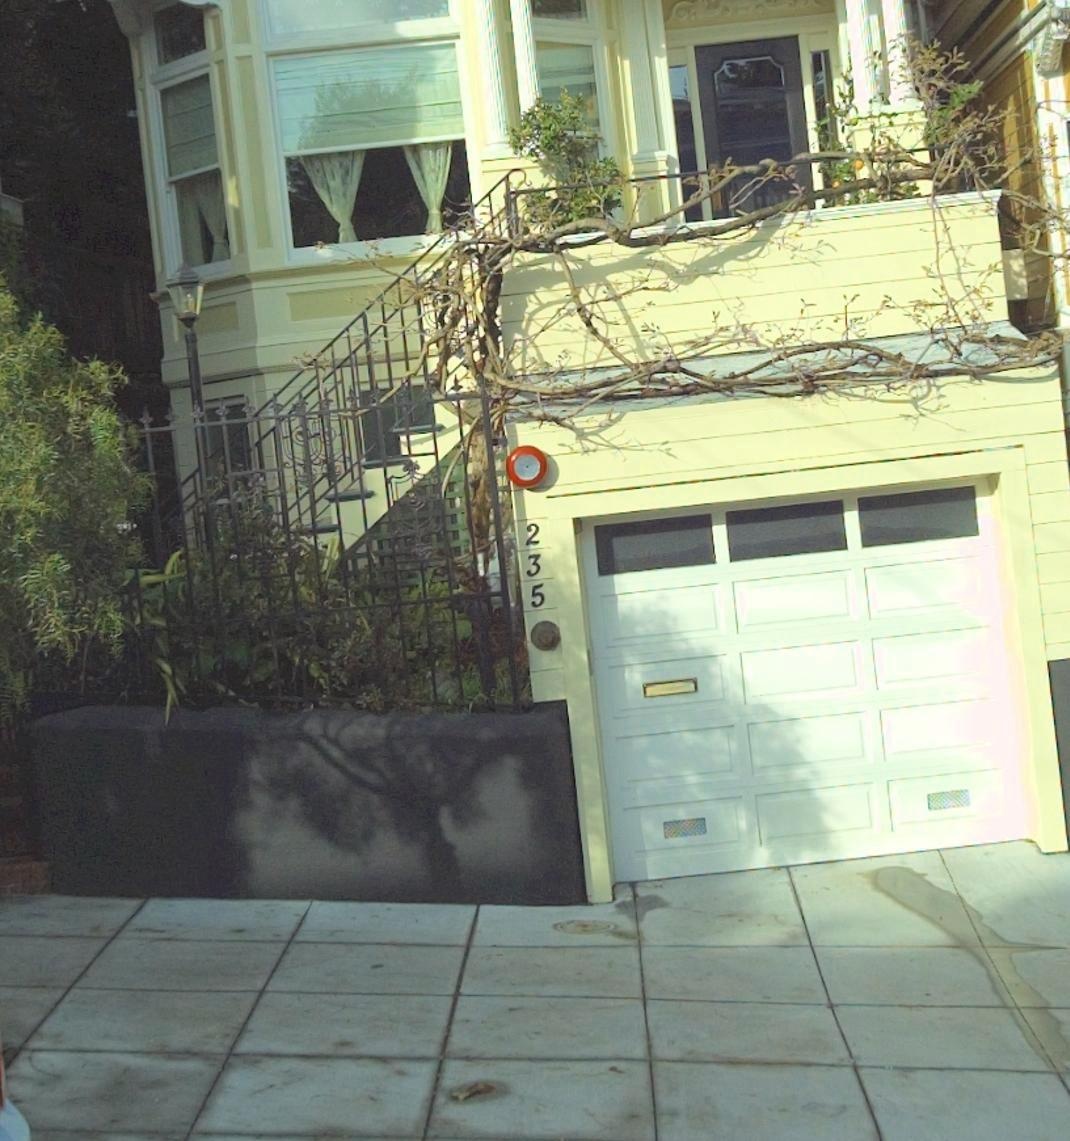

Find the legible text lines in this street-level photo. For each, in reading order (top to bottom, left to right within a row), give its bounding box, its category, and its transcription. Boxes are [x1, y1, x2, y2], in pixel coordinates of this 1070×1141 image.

[520, 520, 549, 611] StreetNumber: 235